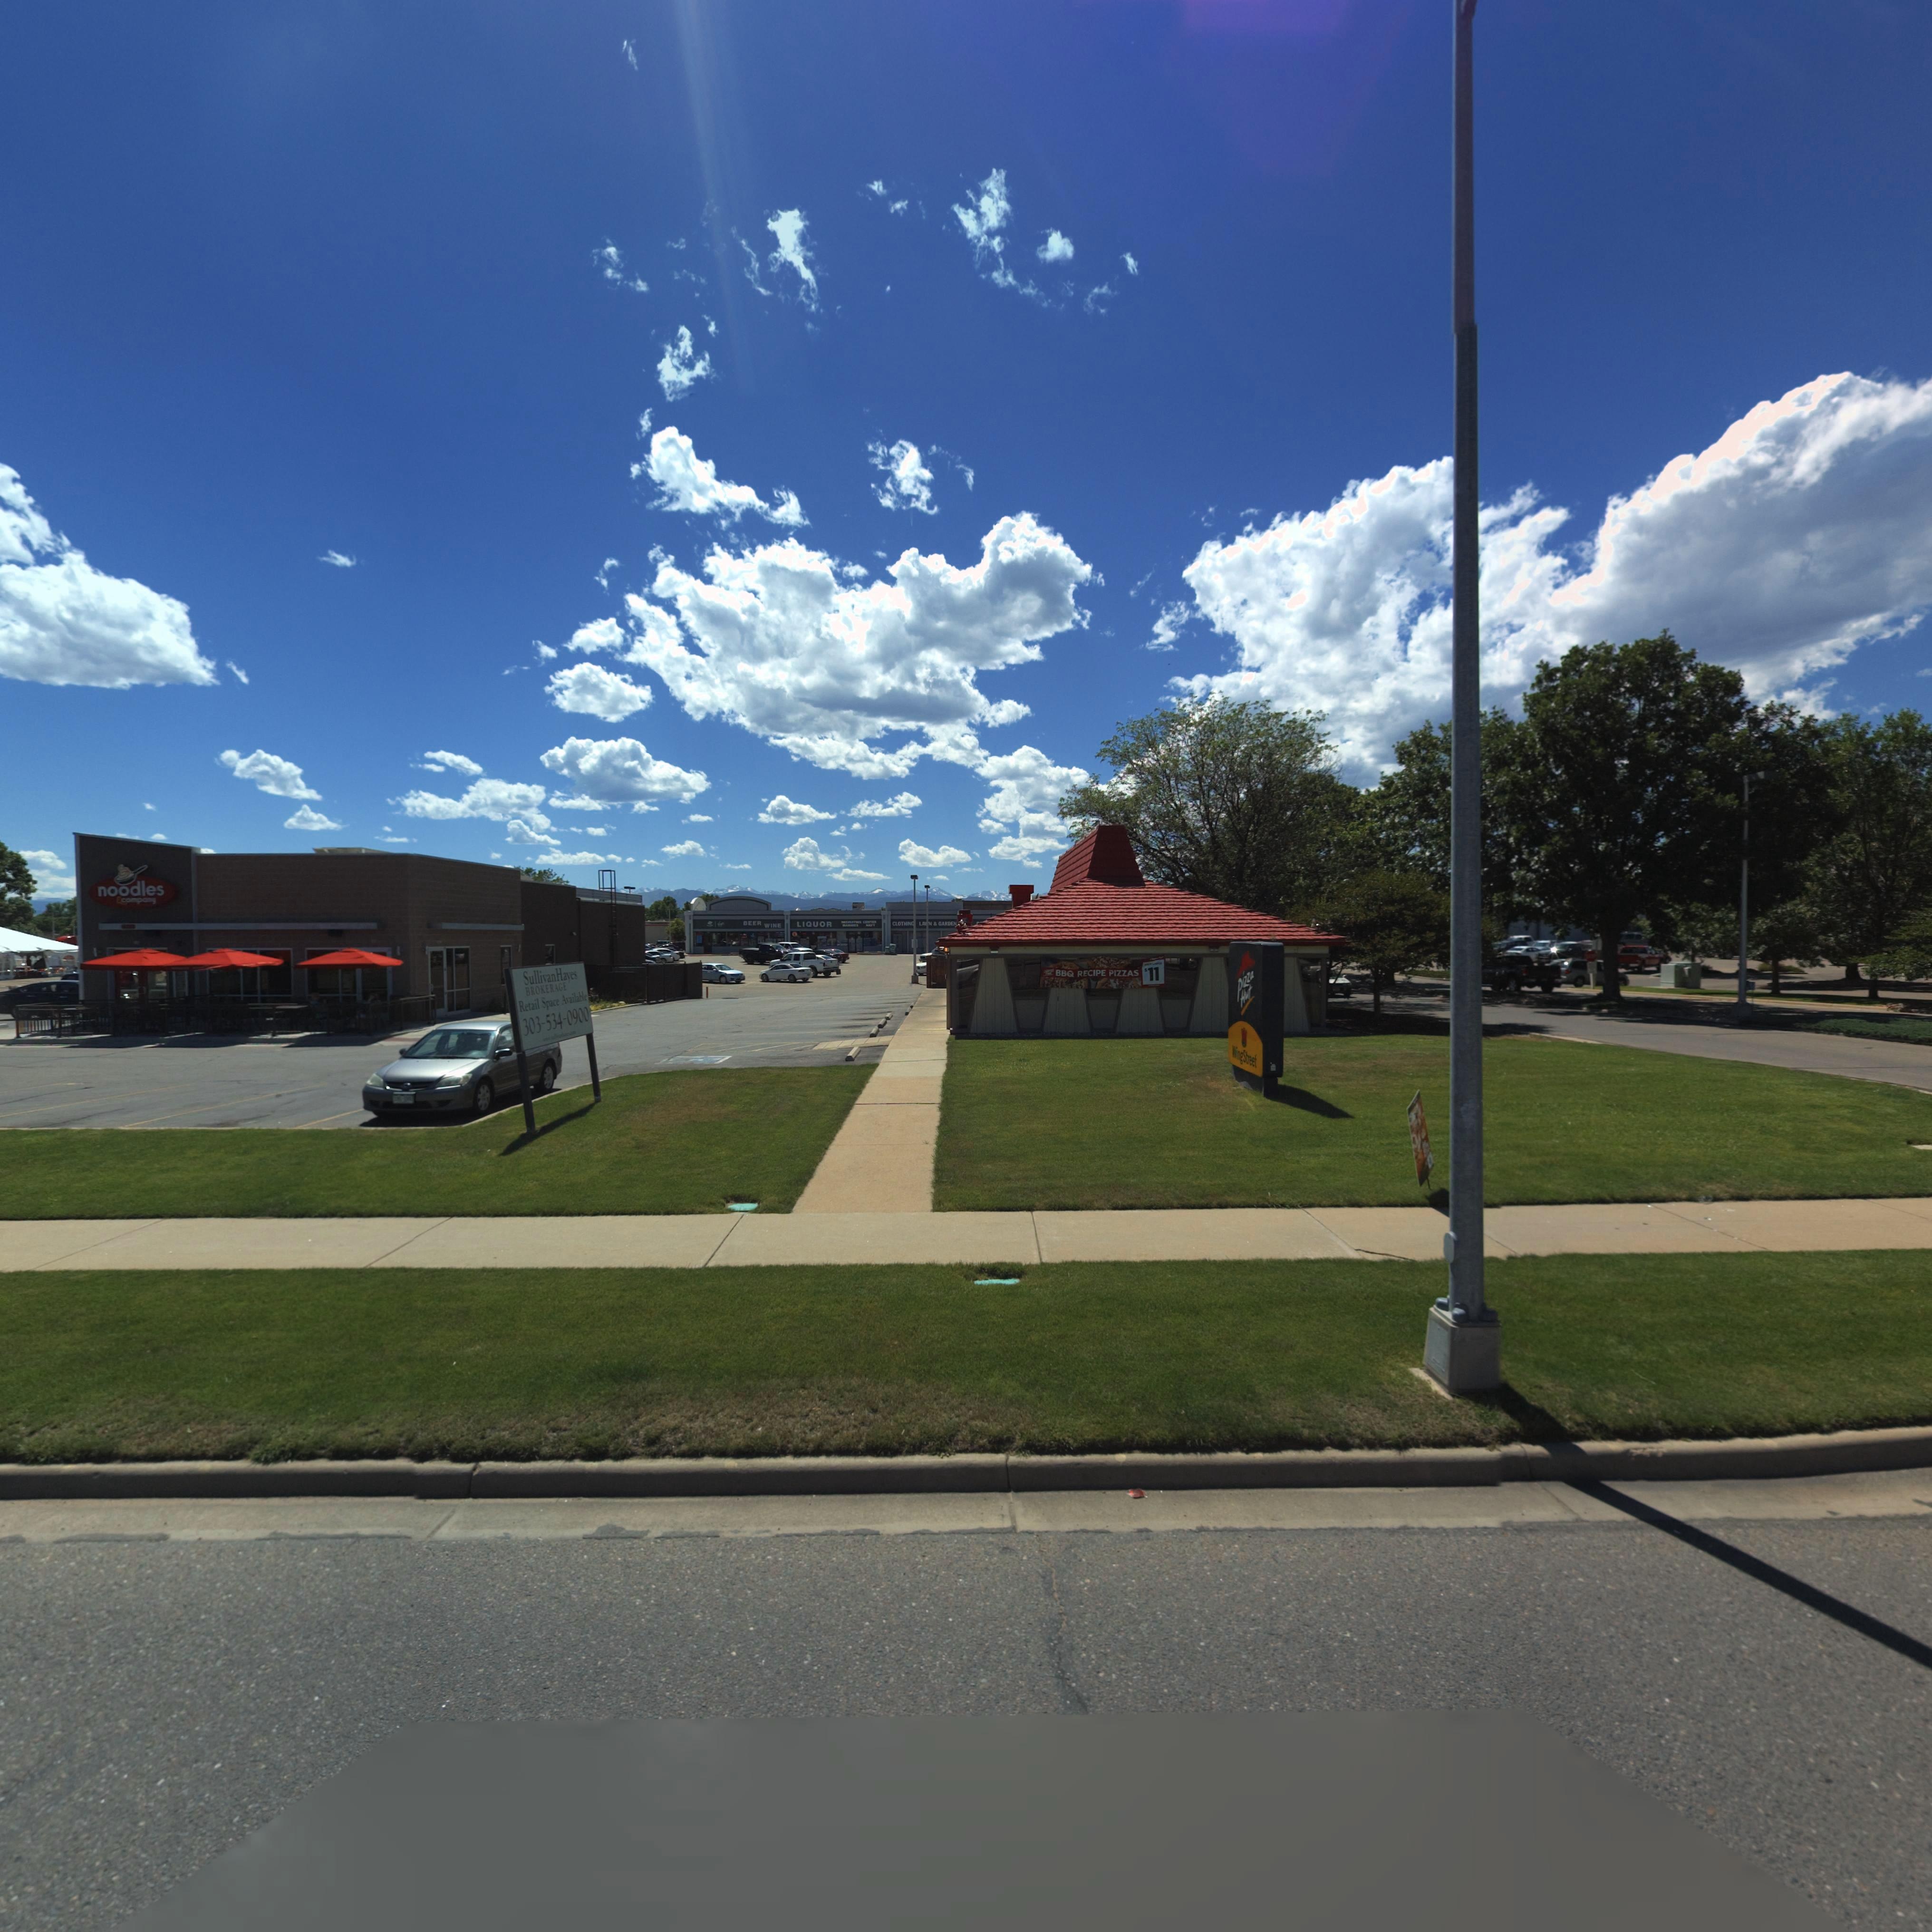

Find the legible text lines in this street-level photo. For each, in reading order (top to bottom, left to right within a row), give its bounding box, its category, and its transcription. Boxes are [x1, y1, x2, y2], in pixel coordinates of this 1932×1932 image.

[98, 879, 164, 897] BusinessName: noodles
[116, 896, 156, 905] BusinessName: * company
[841, 920, 876, 924] BusinessName: **C****T*** C*****
[1236, 970, 1255, 1003] BusinessName: pizza
[1239, 984, 1253, 1008] BusinessName: Hut
[1232, 1044, 1257, 1068] BusinessName: WingStreet